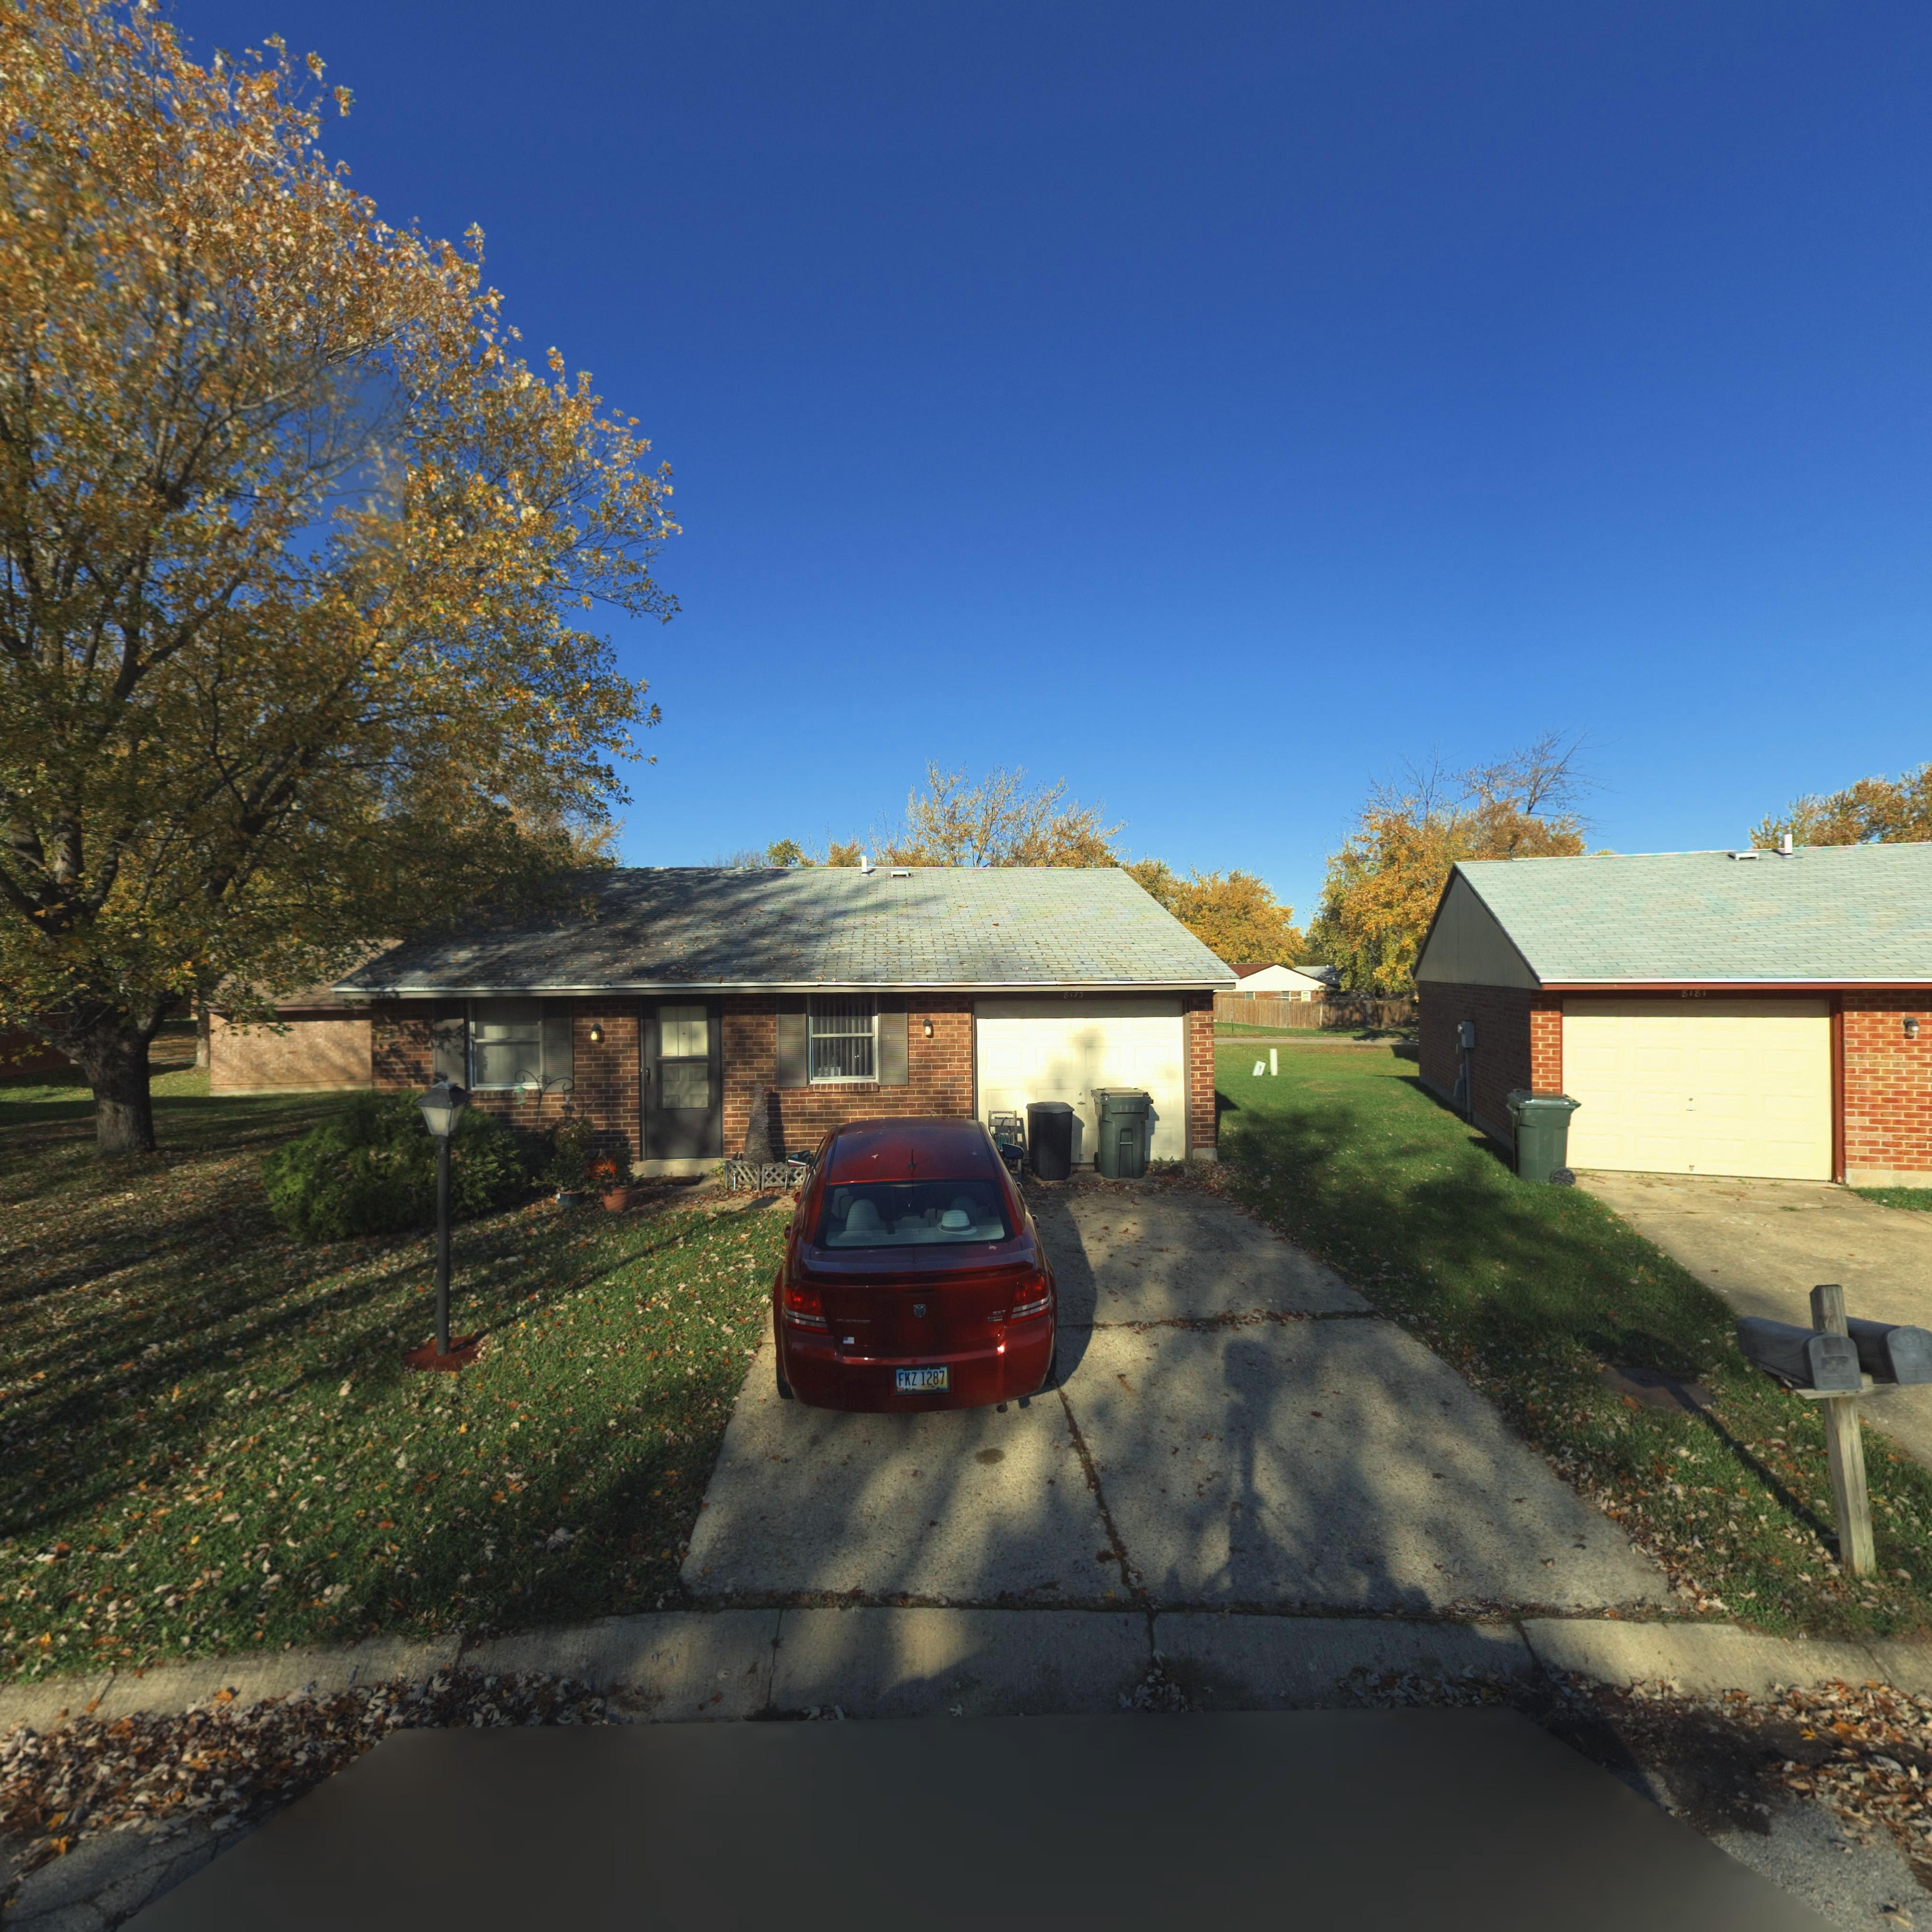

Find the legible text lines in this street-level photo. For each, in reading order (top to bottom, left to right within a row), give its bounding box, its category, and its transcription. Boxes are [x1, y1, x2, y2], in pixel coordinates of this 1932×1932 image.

[1063, 991, 1084, 999] StreetNumber: 8173
[1681, 989, 1707, 998] StreetNumber: 8181